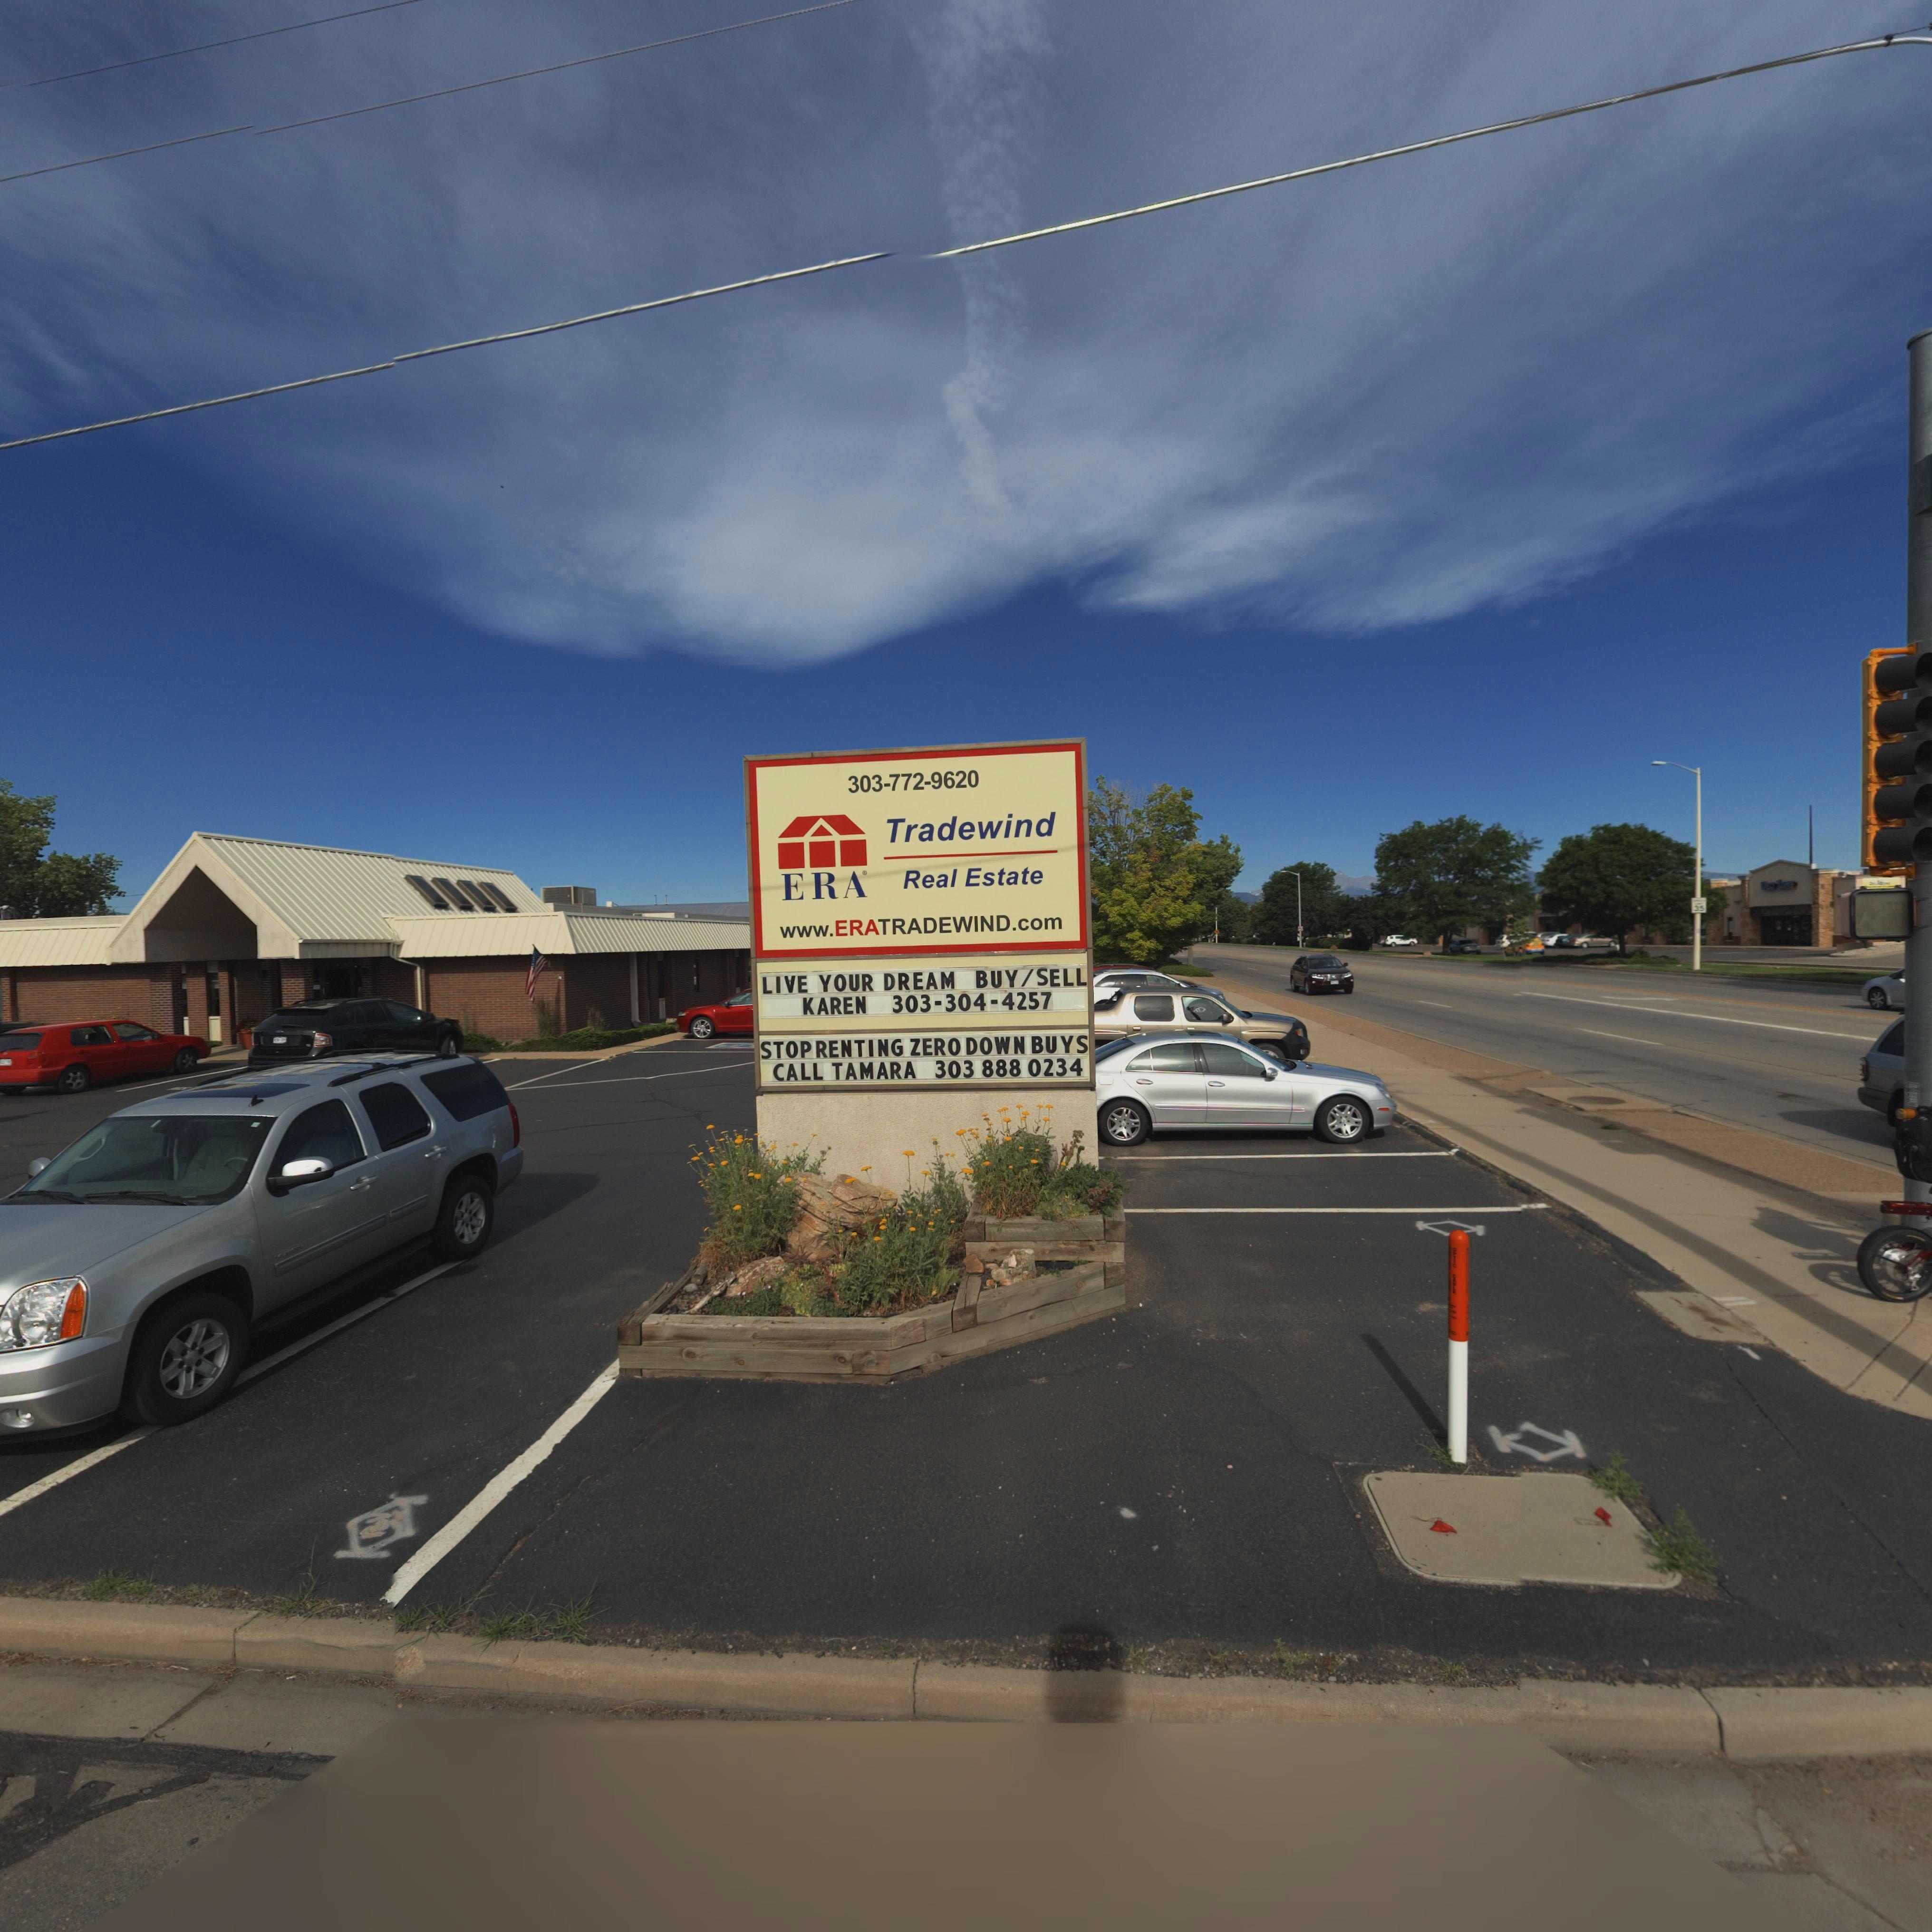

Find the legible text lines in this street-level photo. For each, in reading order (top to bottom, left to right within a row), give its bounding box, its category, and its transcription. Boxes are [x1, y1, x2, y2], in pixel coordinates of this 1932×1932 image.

[885, 810, 1058, 843] BusinessName: Tradewind
[780, 869, 869, 902] BusinessName: ERA
[901, 865, 1044, 890] BusinessName: Real Estate
[547, 959, 551, 967] StreetNumber: 1